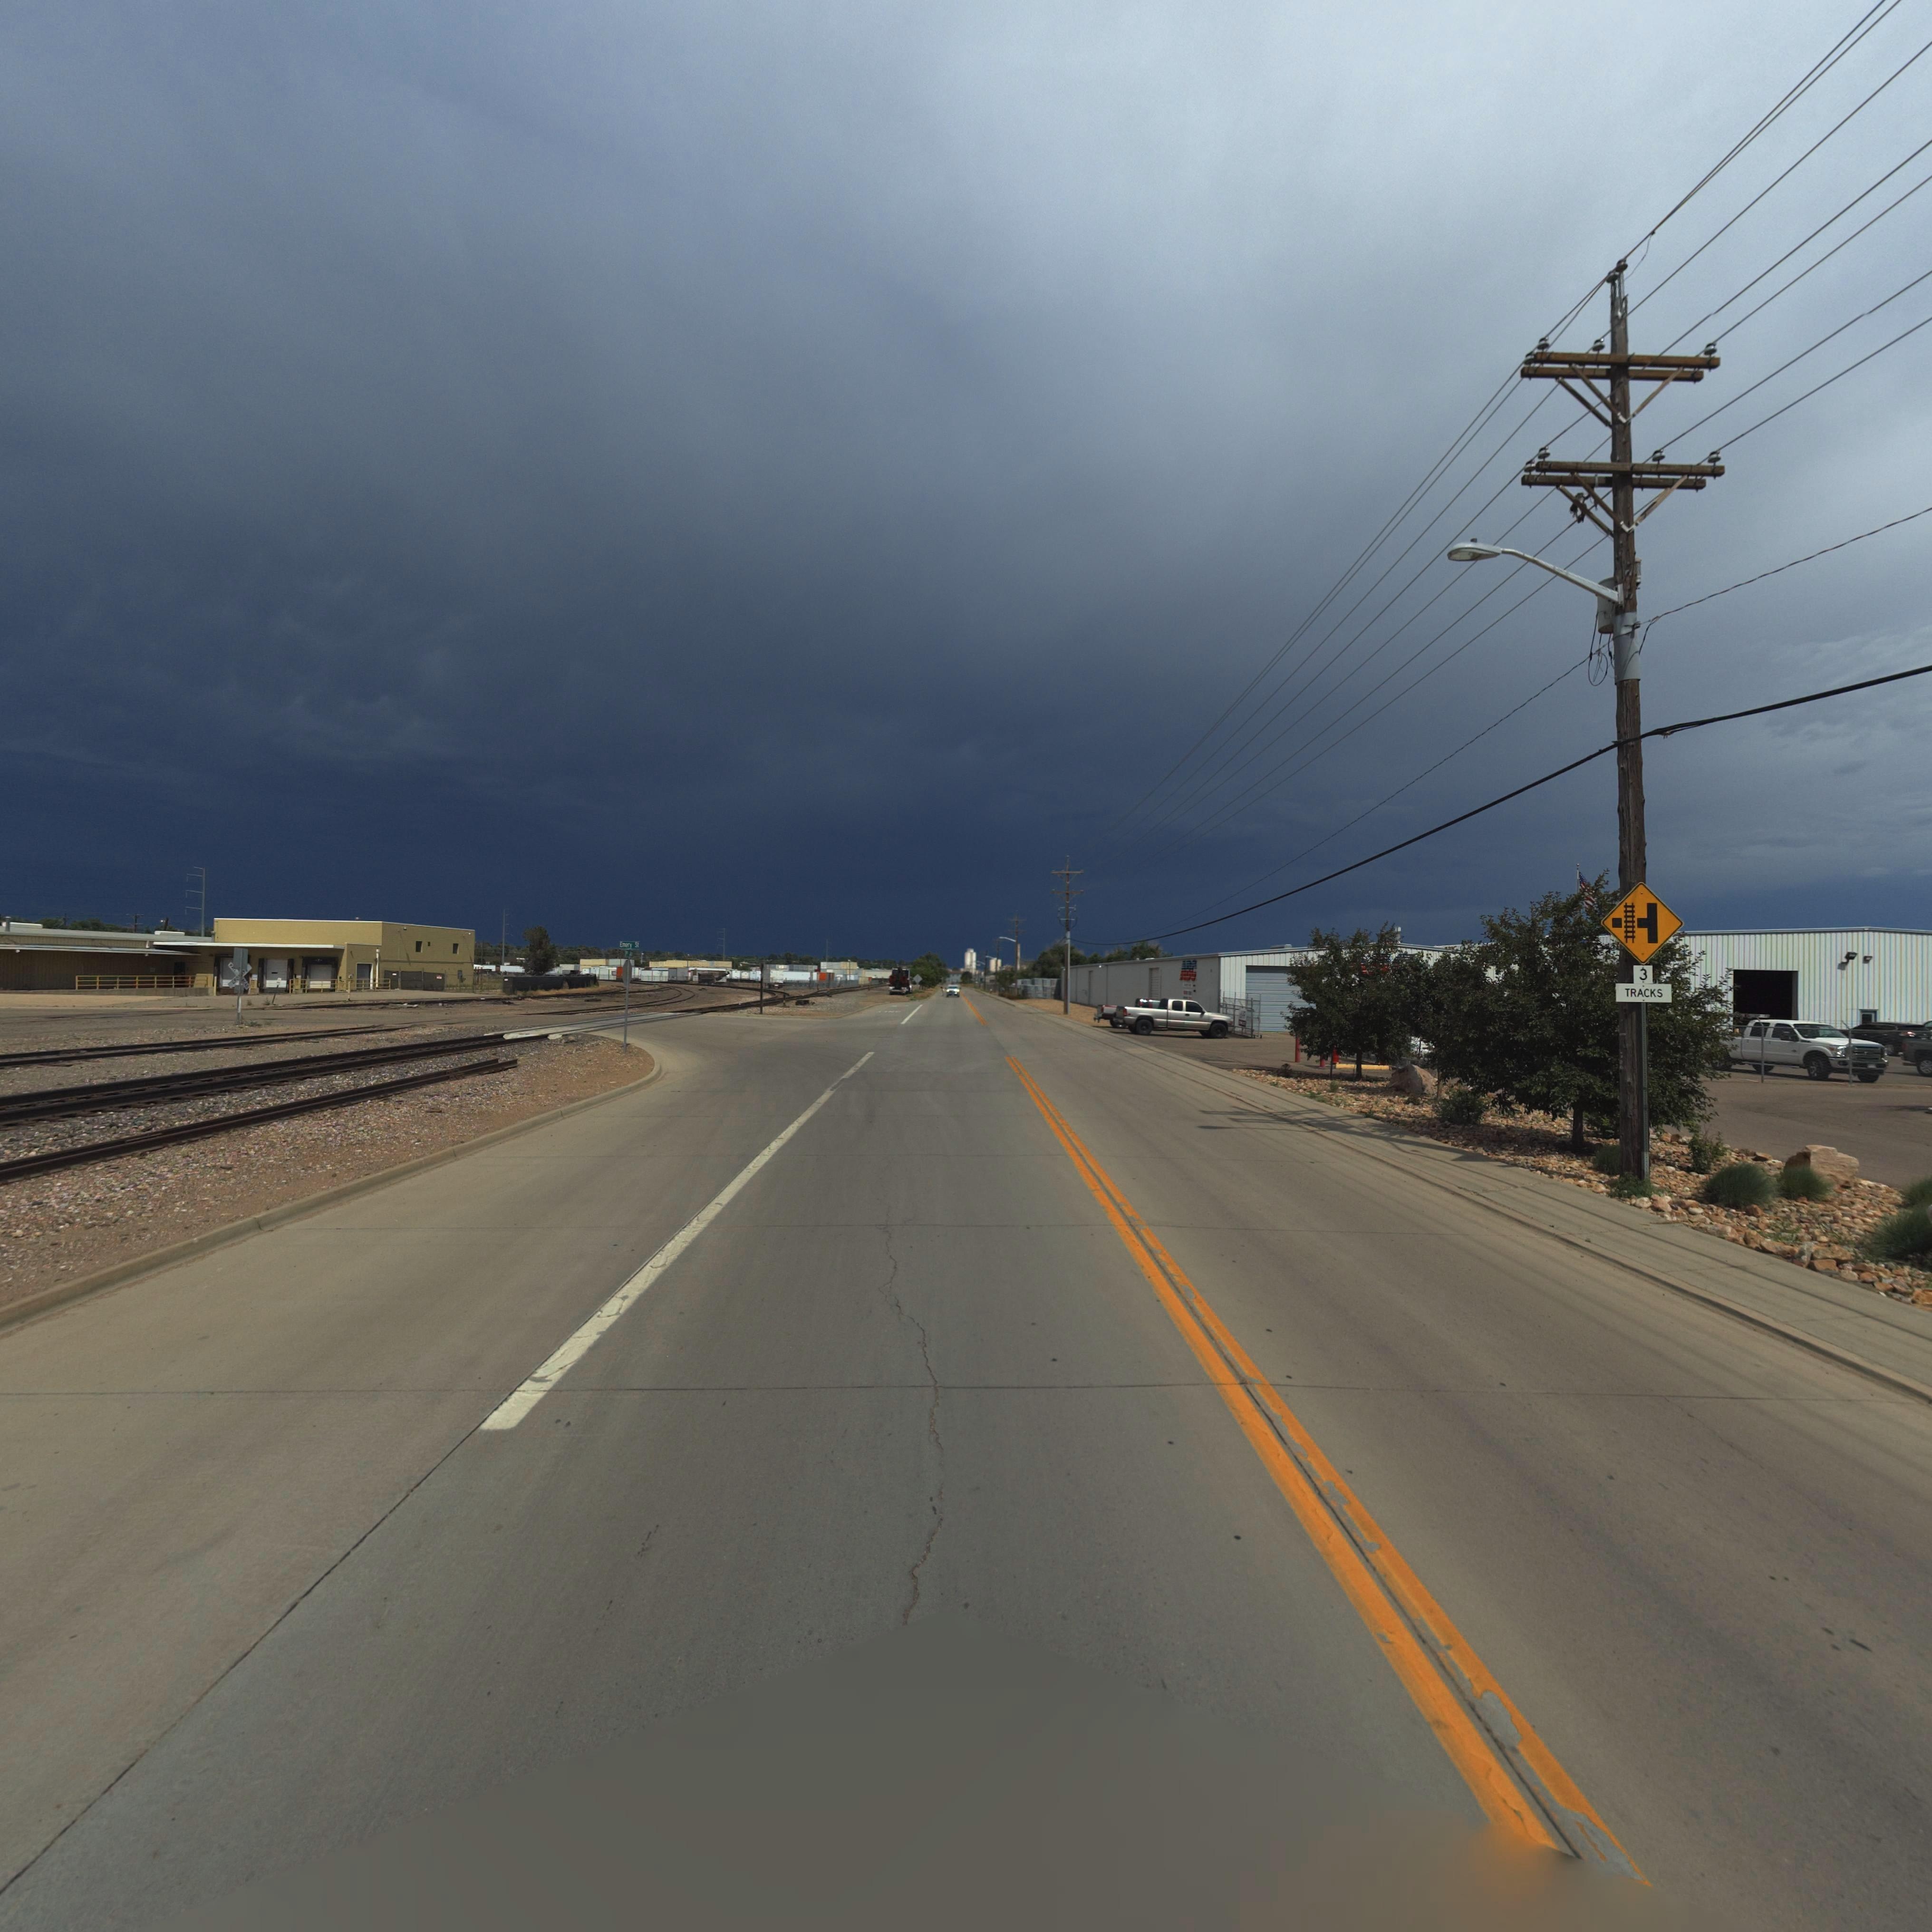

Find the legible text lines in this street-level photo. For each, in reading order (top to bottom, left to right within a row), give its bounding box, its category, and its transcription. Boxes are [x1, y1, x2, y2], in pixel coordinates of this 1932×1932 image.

[619, 941, 639, 949] StreetName: Emery St
[1178, 959, 1197, 981] BusinessName: ABC
[1341, 952, 1415, 978] BusinessName: **C